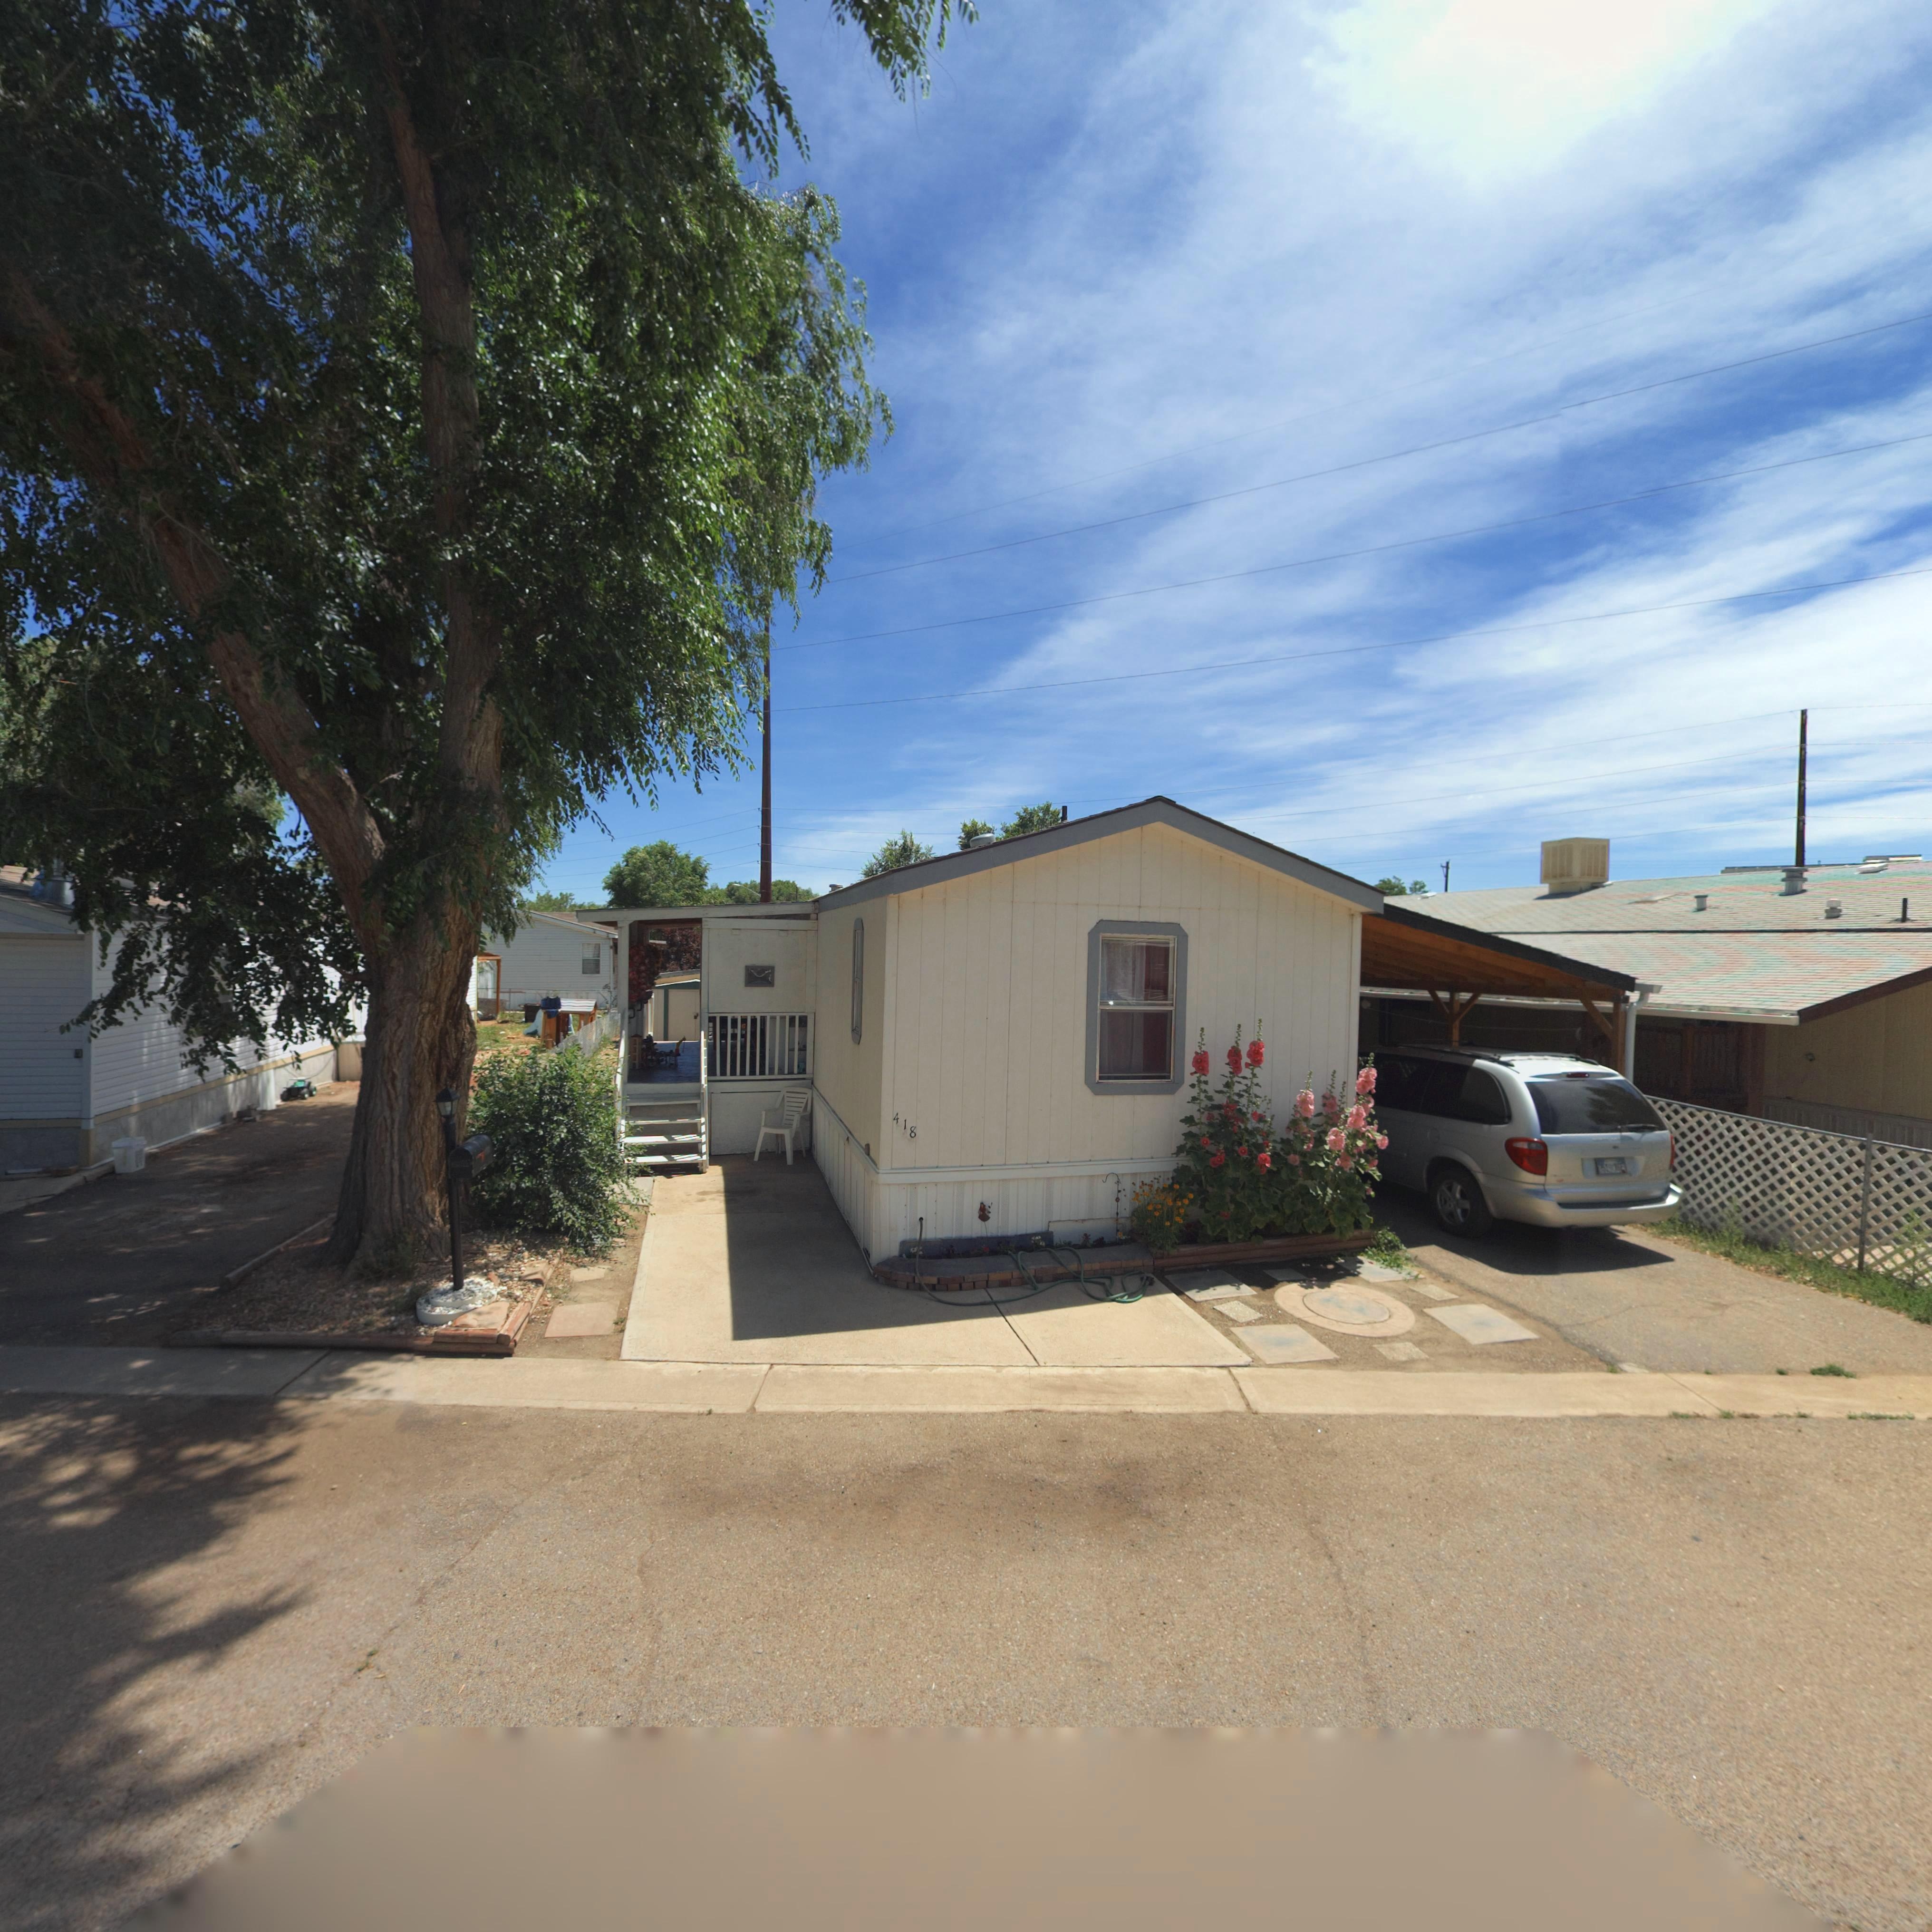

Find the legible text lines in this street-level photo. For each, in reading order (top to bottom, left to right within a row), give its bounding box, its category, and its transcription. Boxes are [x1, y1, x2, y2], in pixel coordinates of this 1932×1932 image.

[892, 1111, 917, 1139] StreetNumber: 418